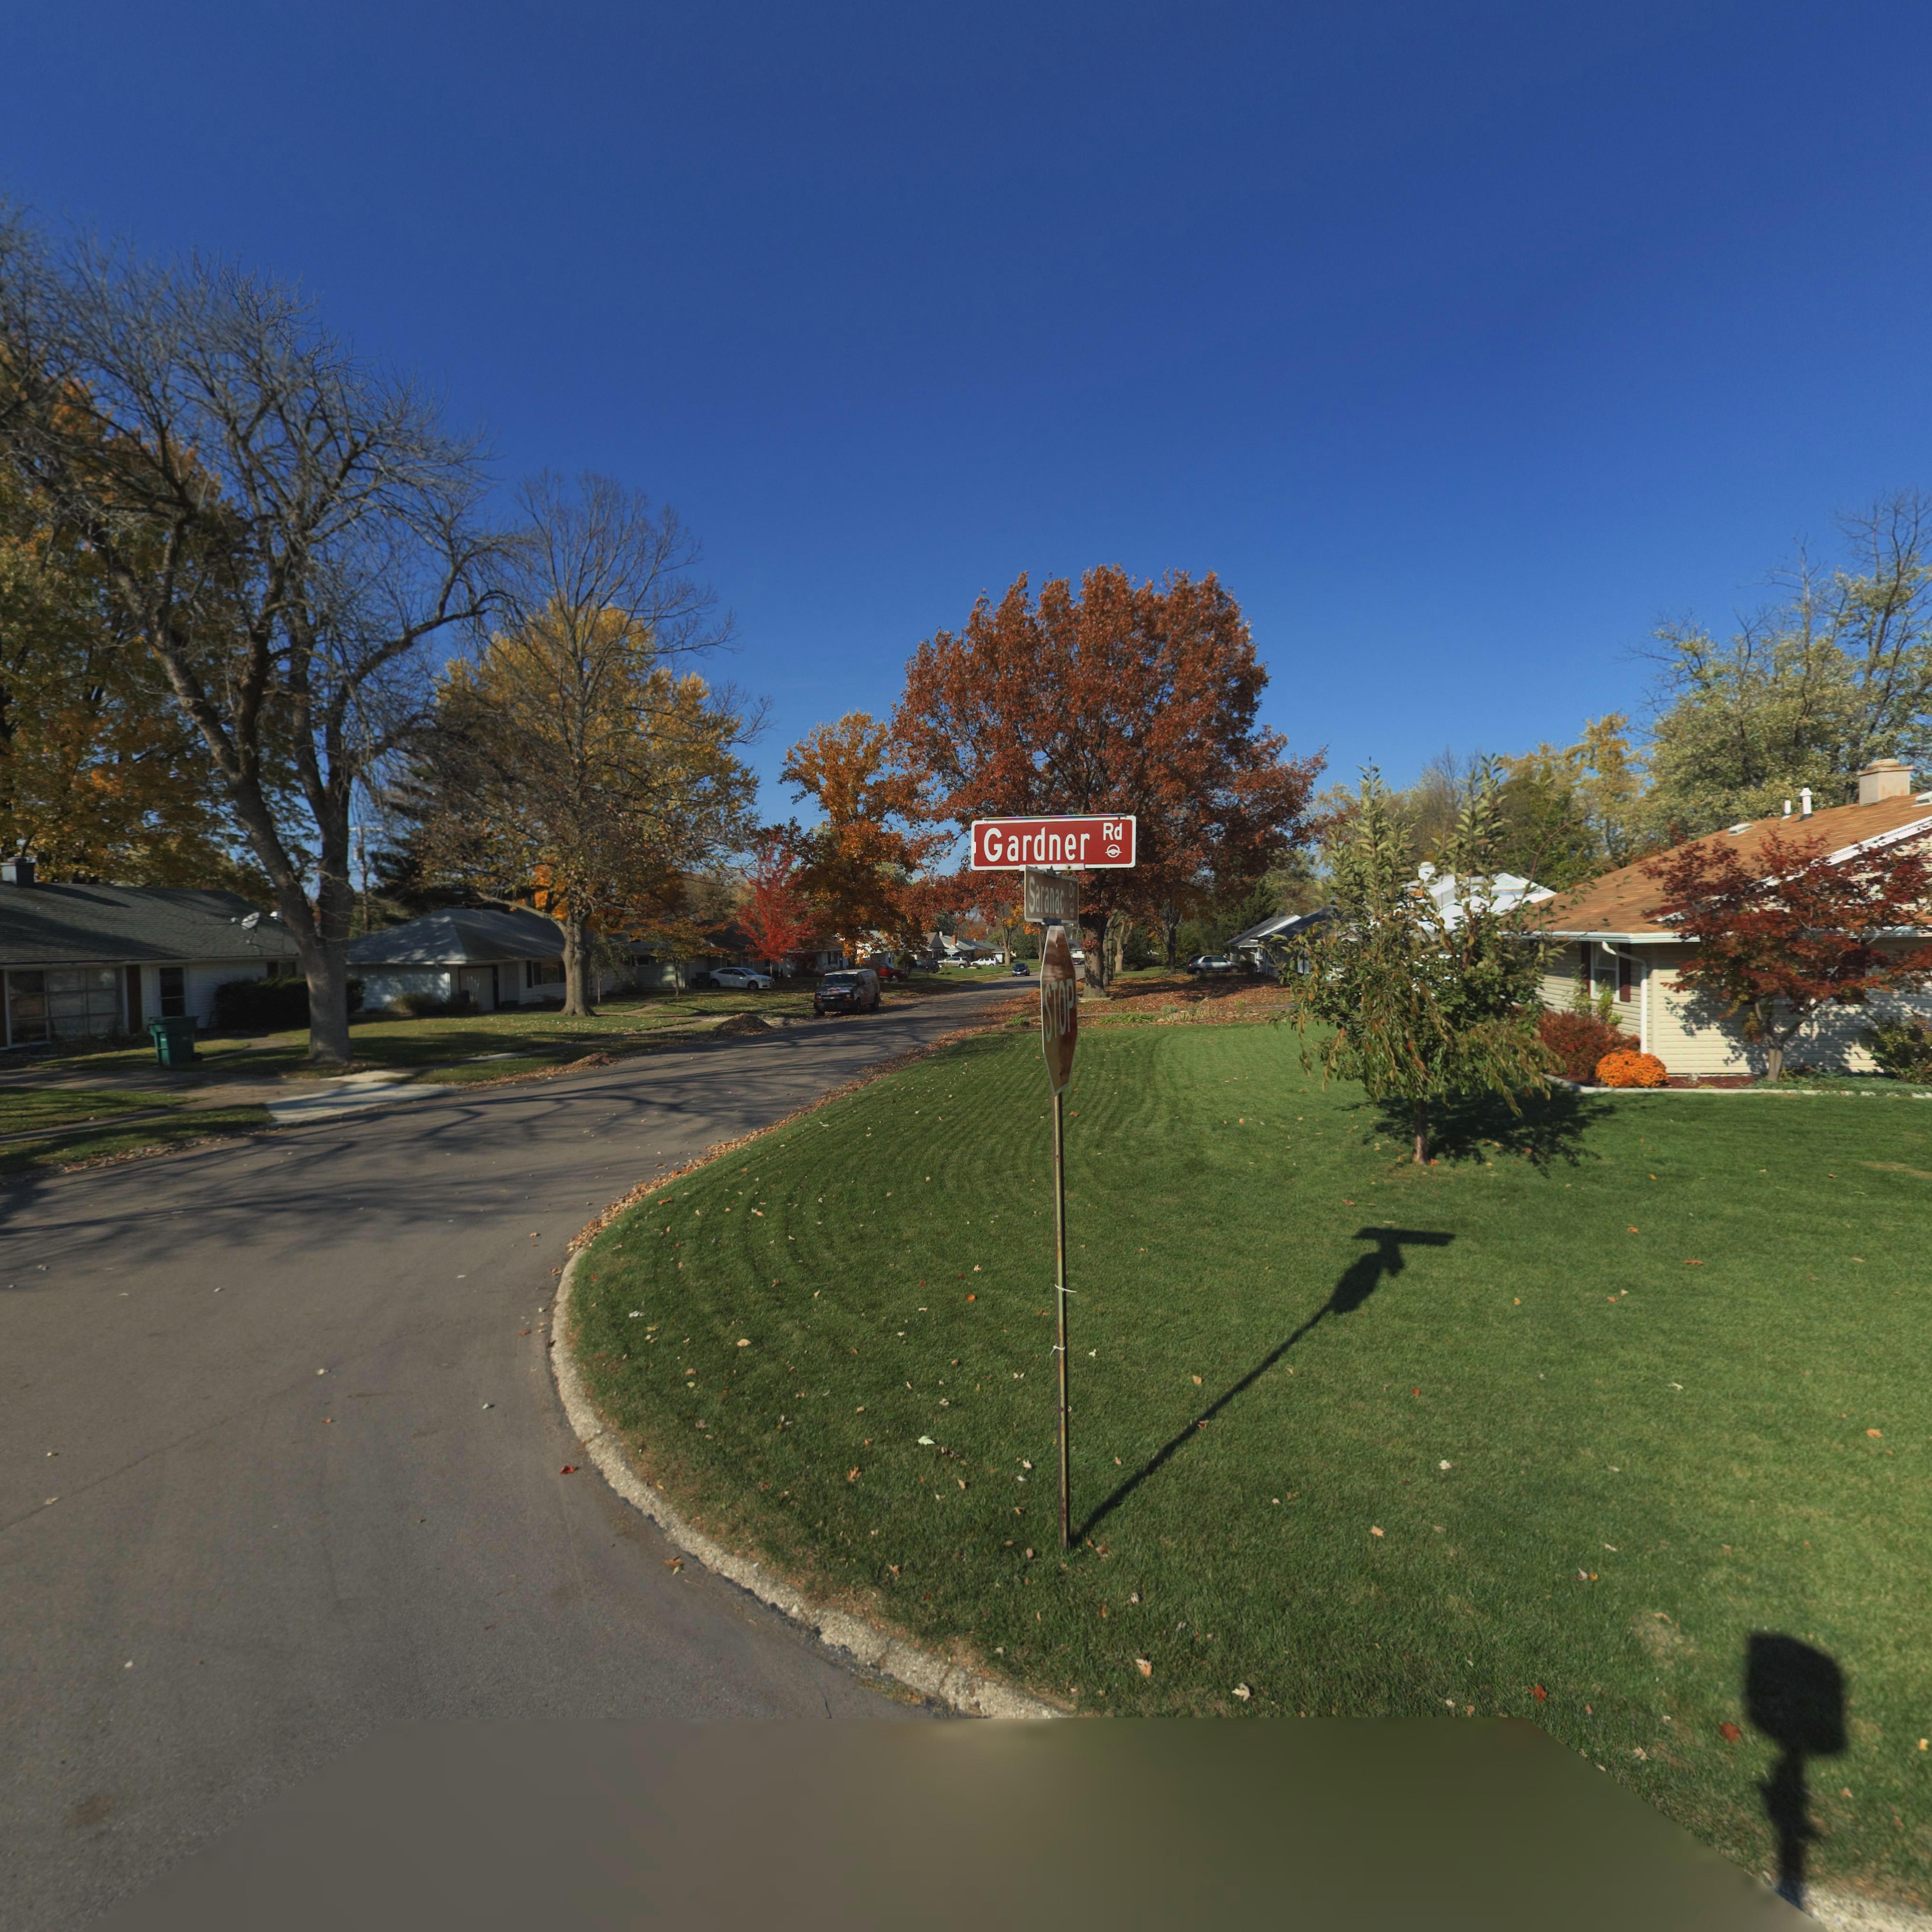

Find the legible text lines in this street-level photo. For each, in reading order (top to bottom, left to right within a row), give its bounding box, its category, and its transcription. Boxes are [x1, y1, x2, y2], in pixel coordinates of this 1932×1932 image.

[981, 820, 1125, 865] StreetName: Gardner Rd
[1027, 872, 1077, 916] StreetName: Saranac Dr
[1043, 976, 1076, 1045] None: STOP